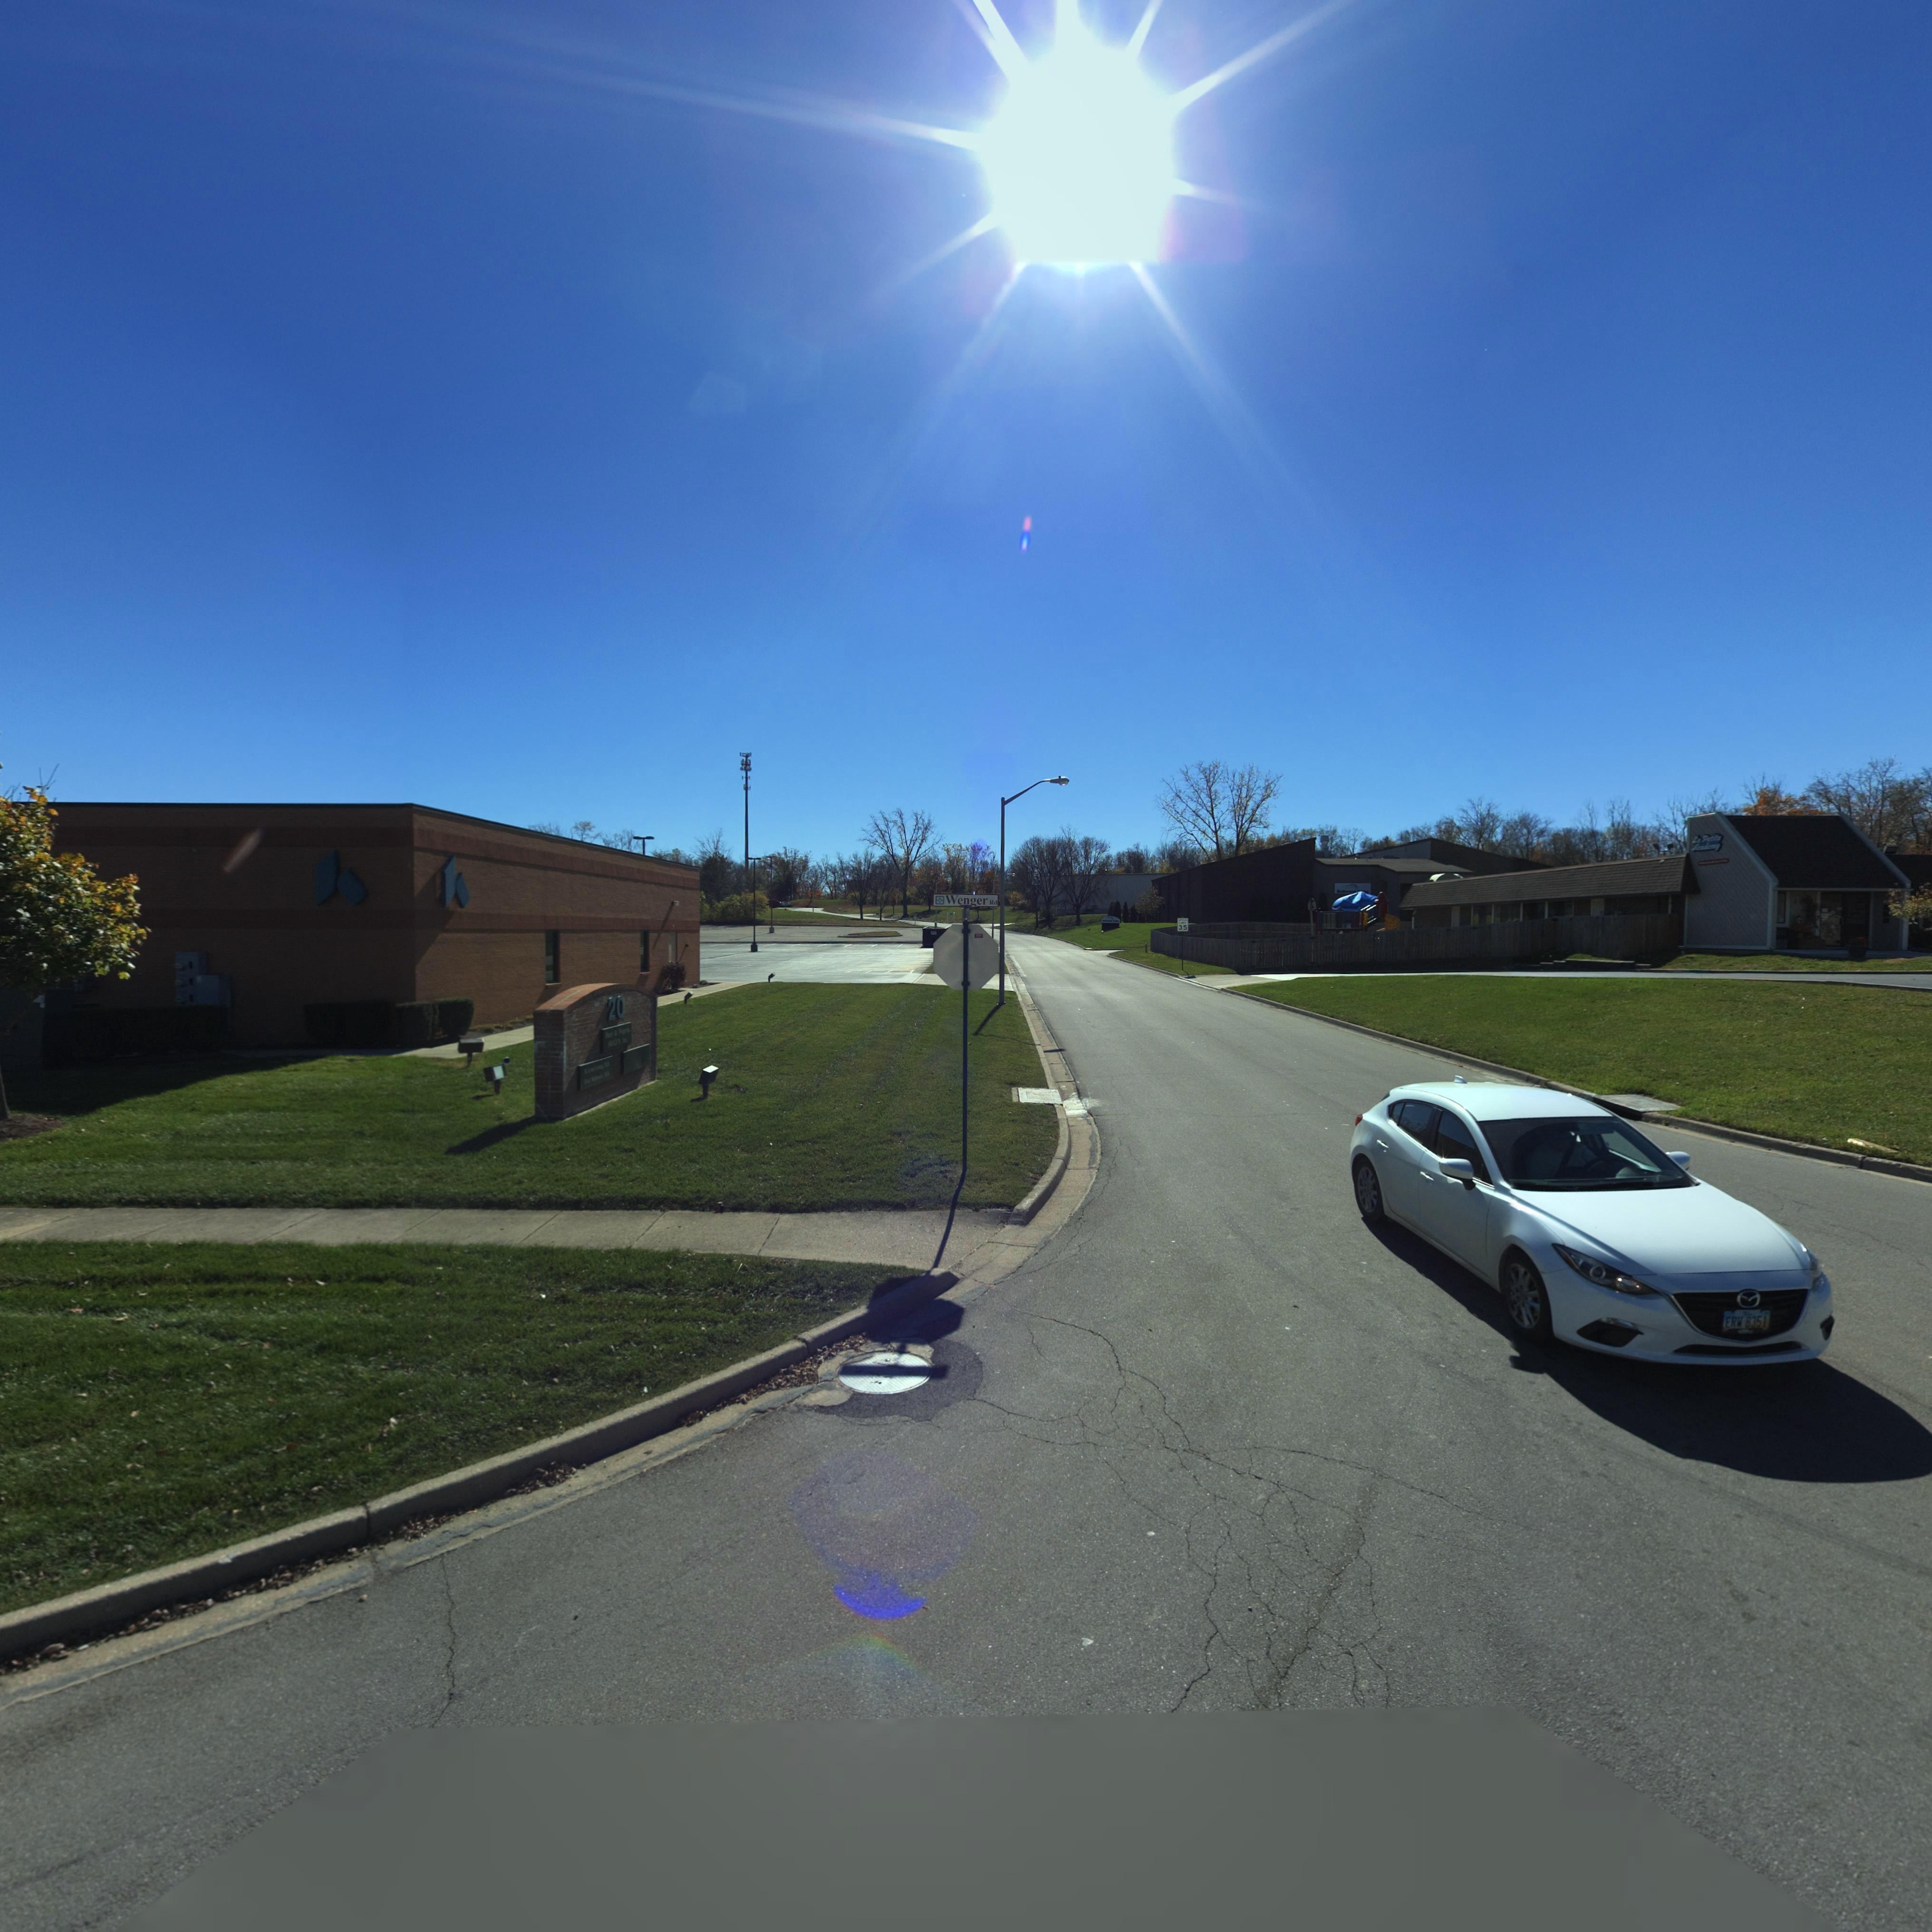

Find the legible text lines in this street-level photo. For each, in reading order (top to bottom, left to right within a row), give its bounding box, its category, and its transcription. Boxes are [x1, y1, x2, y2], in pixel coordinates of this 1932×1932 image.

[1691, 833, 1723, 844] BusinessName: La Petite
[1690, 842, 1722, 852] BusinessName: Academy
[945, 894, 998, 908] StreetName: Wenger Rd
[607, 994, 625, 1023] StreetNumber: 20